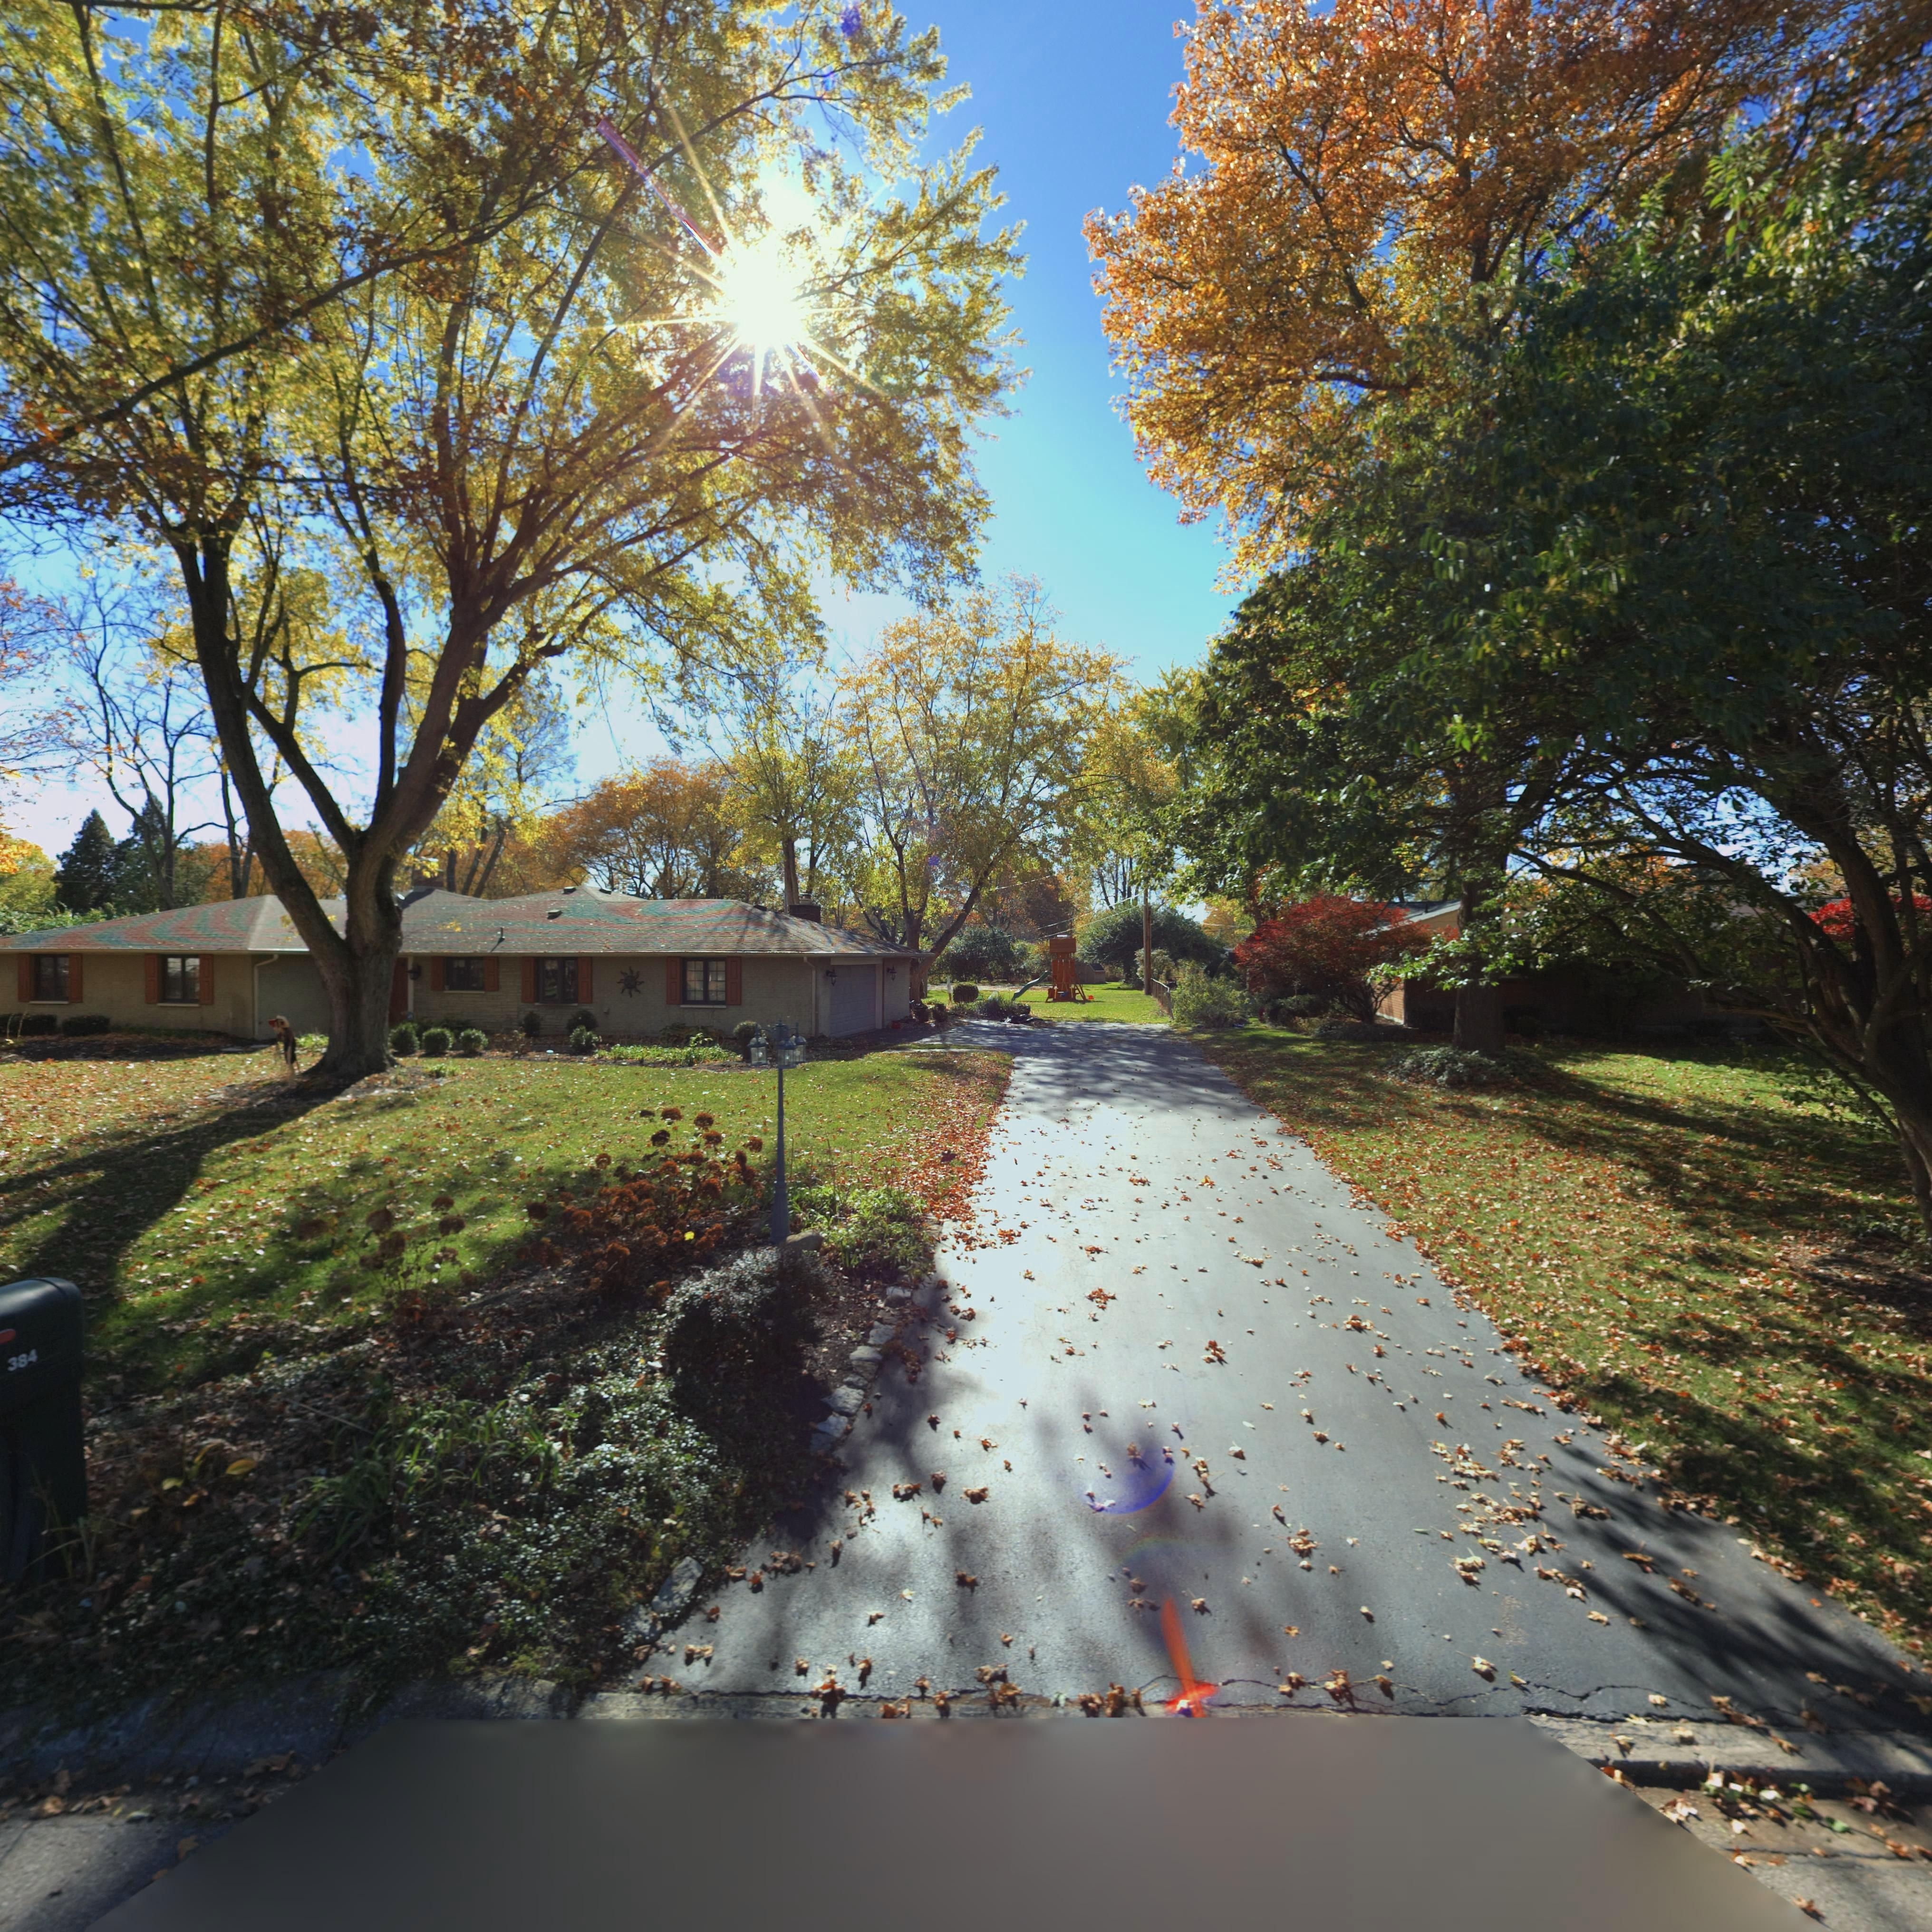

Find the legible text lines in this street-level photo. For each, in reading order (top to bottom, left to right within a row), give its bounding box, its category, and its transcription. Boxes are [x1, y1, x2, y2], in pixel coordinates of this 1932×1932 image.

[6, 1347, 39, 1373] StreetNumber: 384